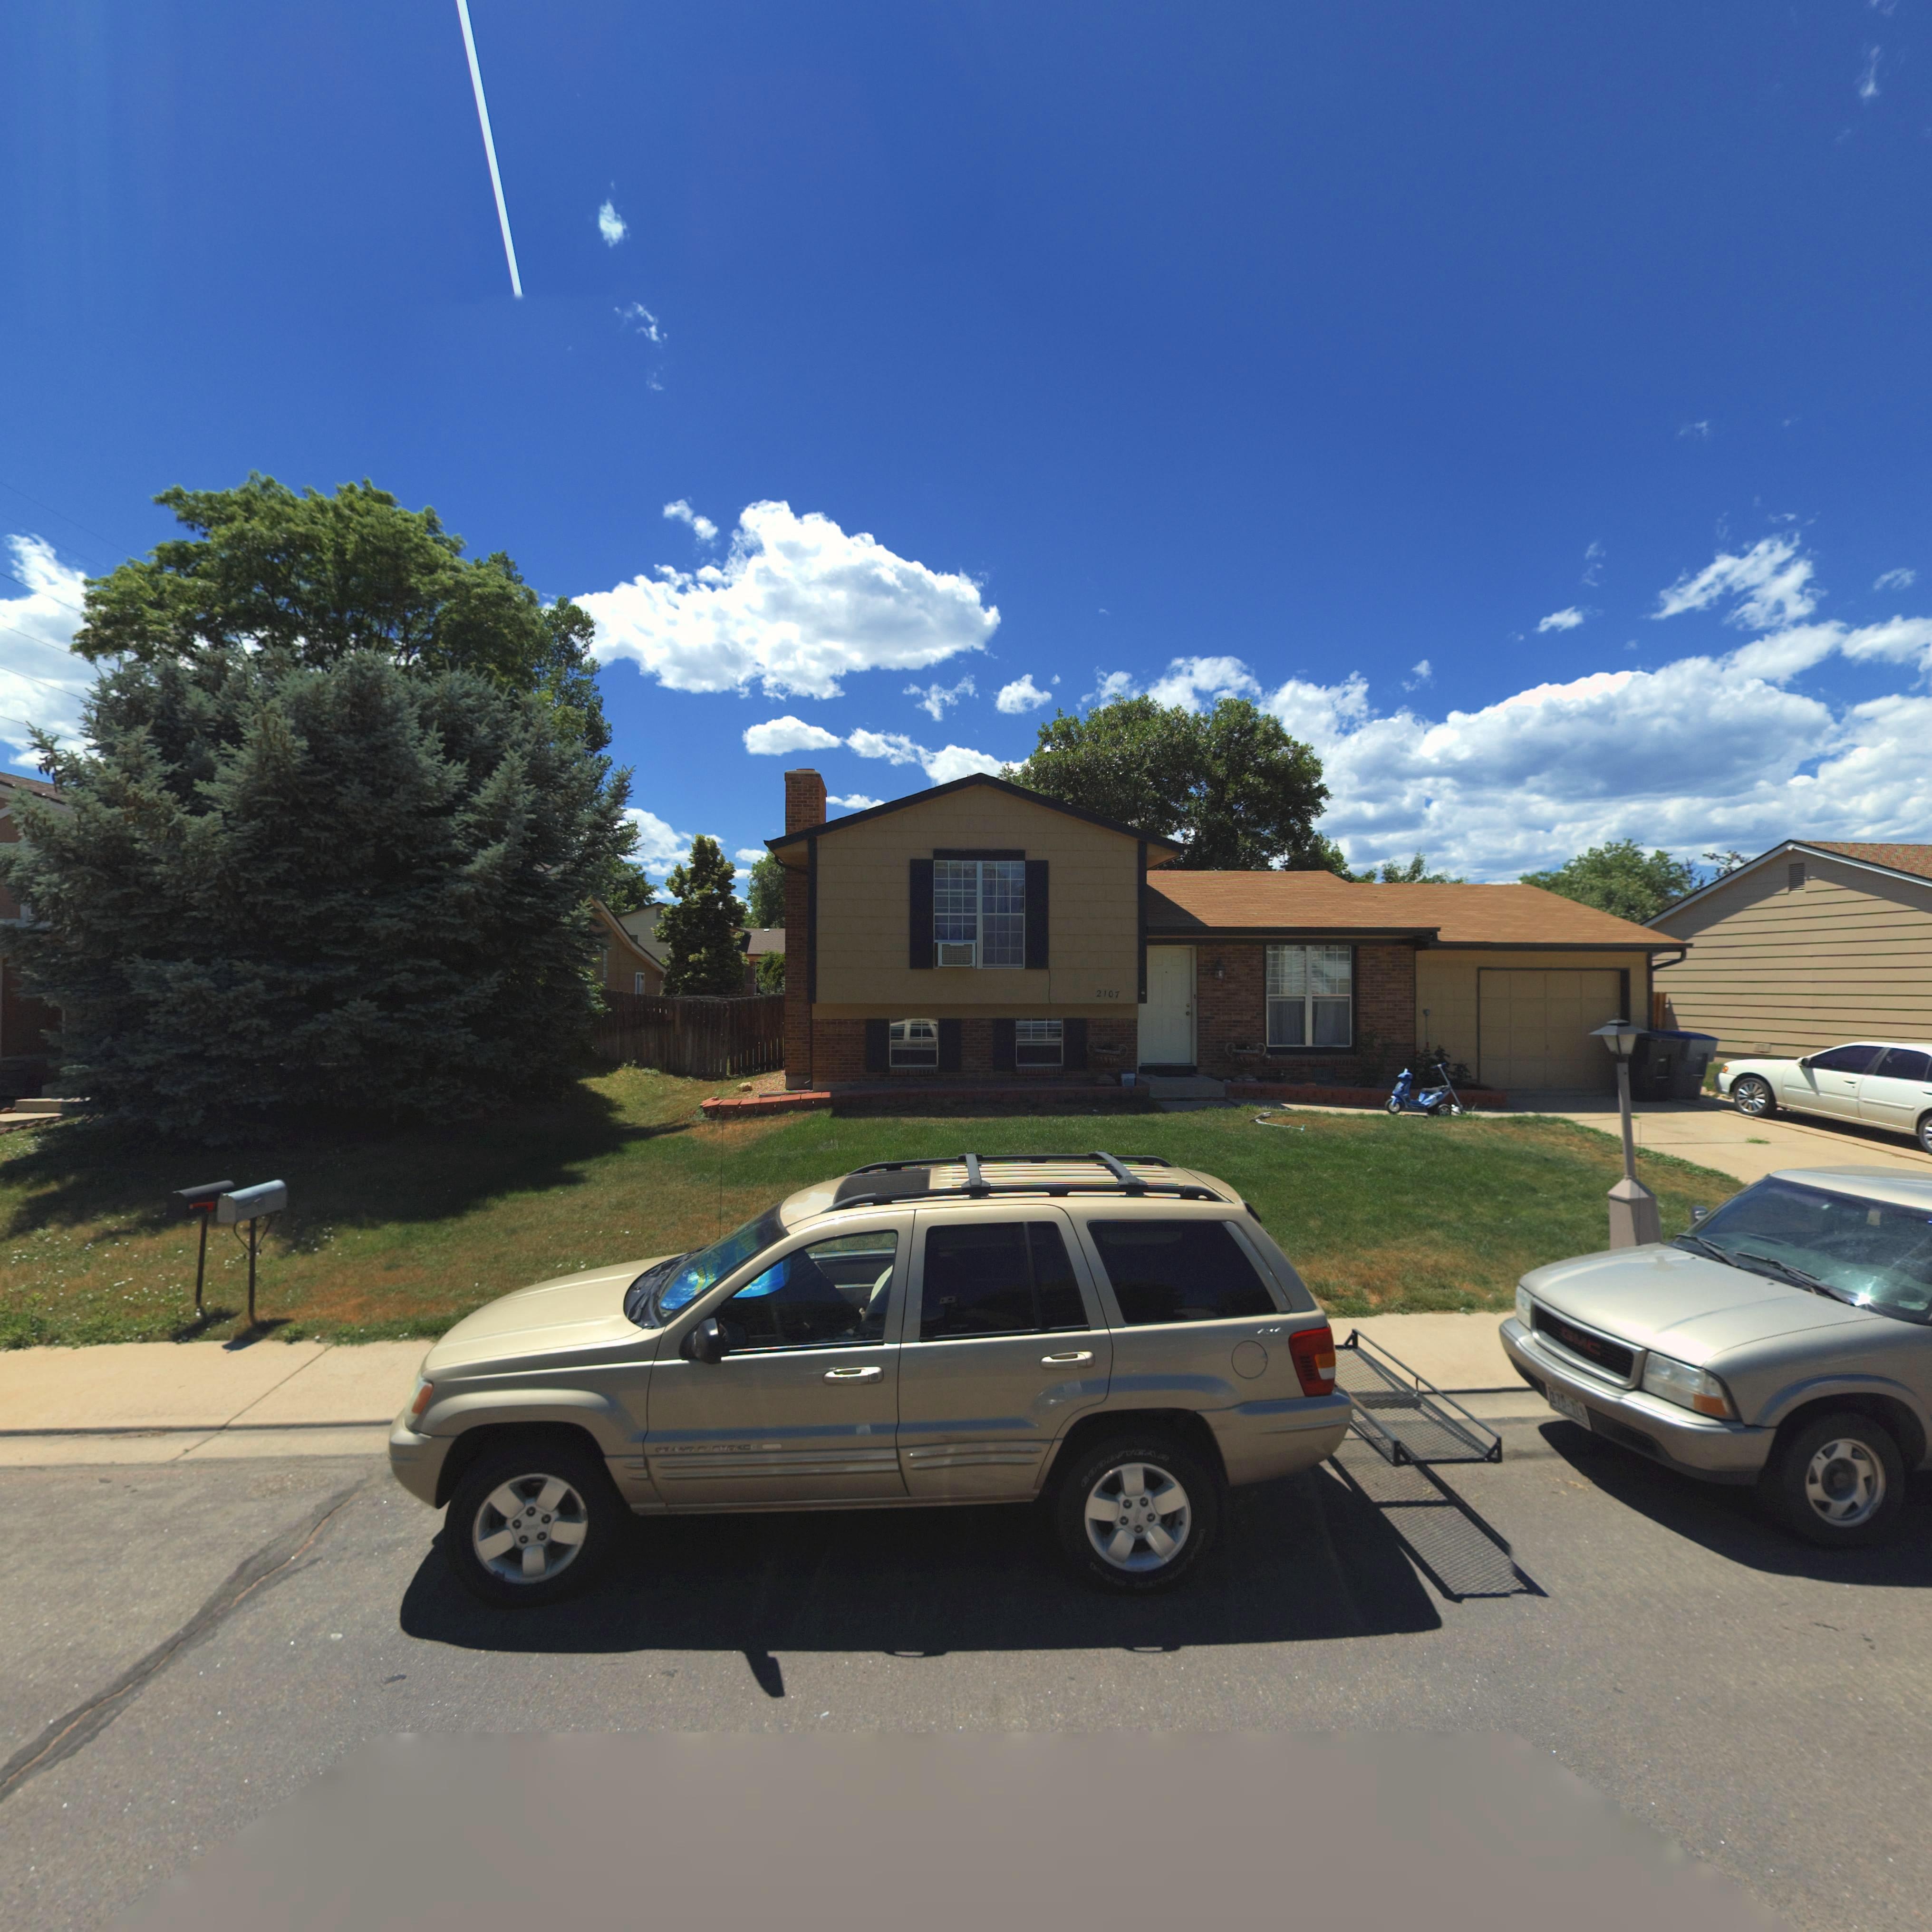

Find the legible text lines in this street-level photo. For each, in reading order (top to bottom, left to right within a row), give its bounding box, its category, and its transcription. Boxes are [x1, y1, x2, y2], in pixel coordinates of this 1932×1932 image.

[1096, 989, 1120, 998] StreetNumber: 2107